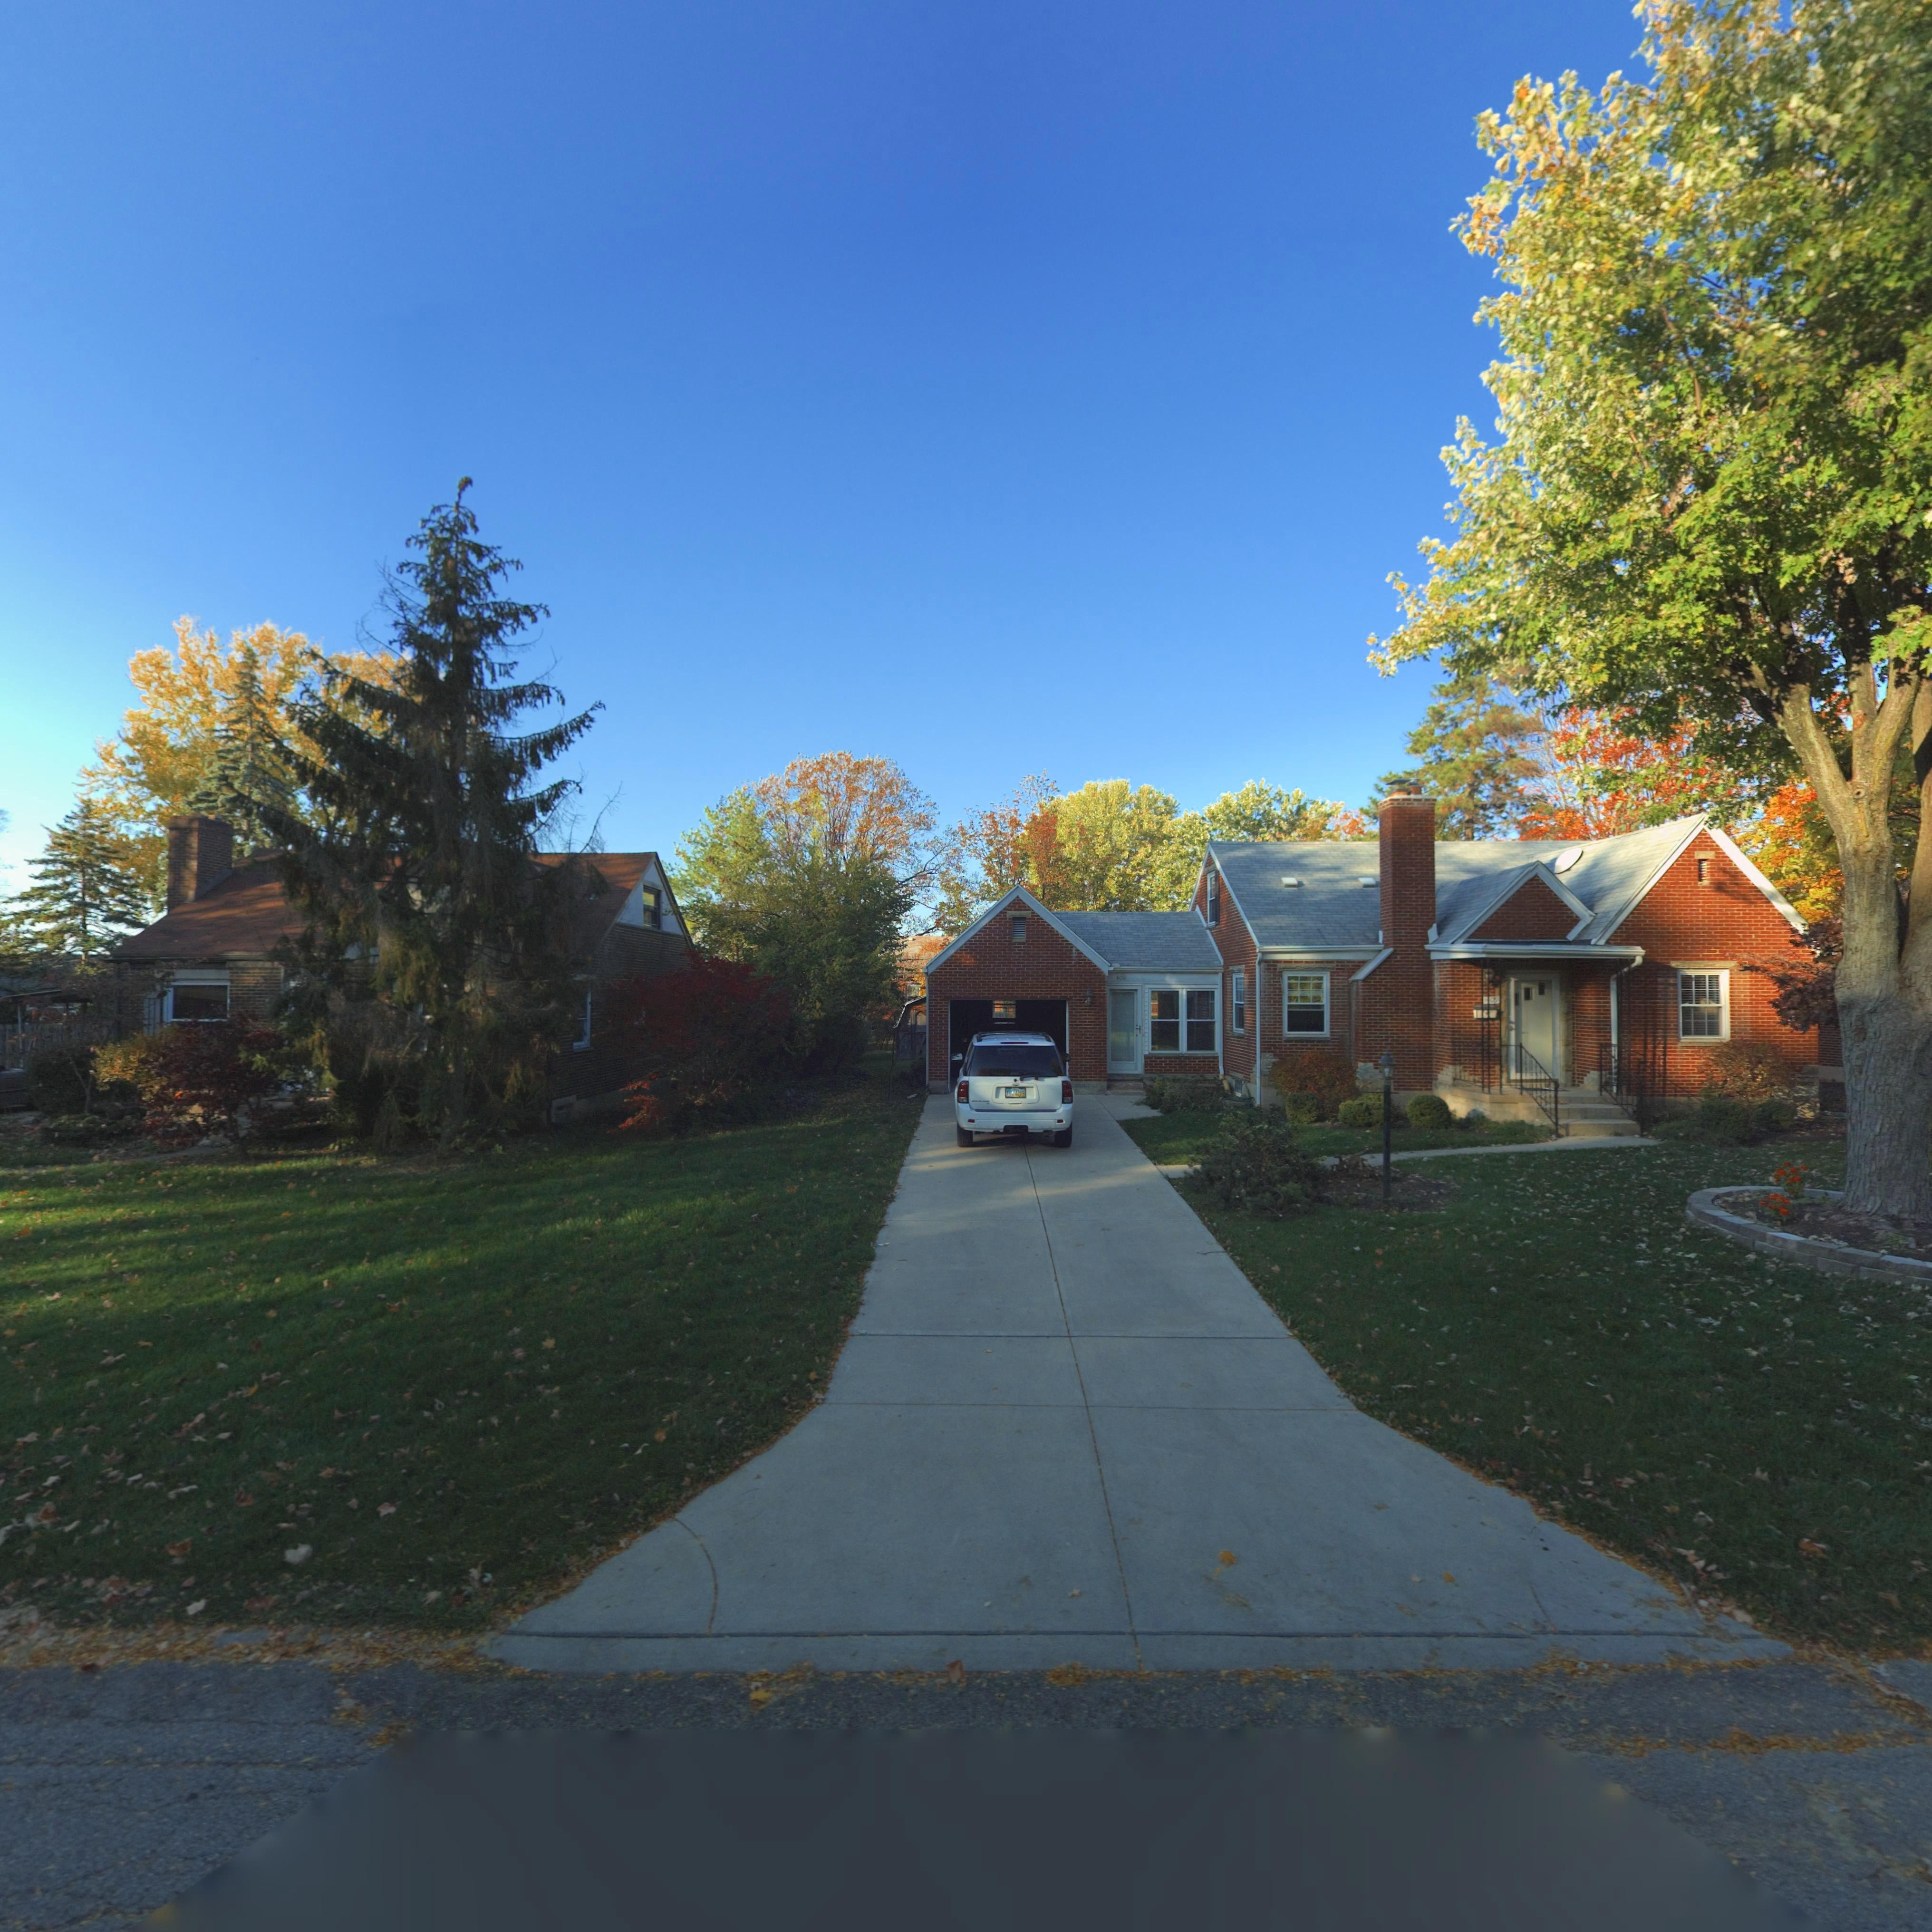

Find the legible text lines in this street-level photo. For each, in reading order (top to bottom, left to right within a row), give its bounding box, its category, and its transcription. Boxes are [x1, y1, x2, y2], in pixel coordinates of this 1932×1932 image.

[1116, 975, 1126, 980] StreetNumber: 409
[1486, 996, 1498, 1003] StreetNumber: *09